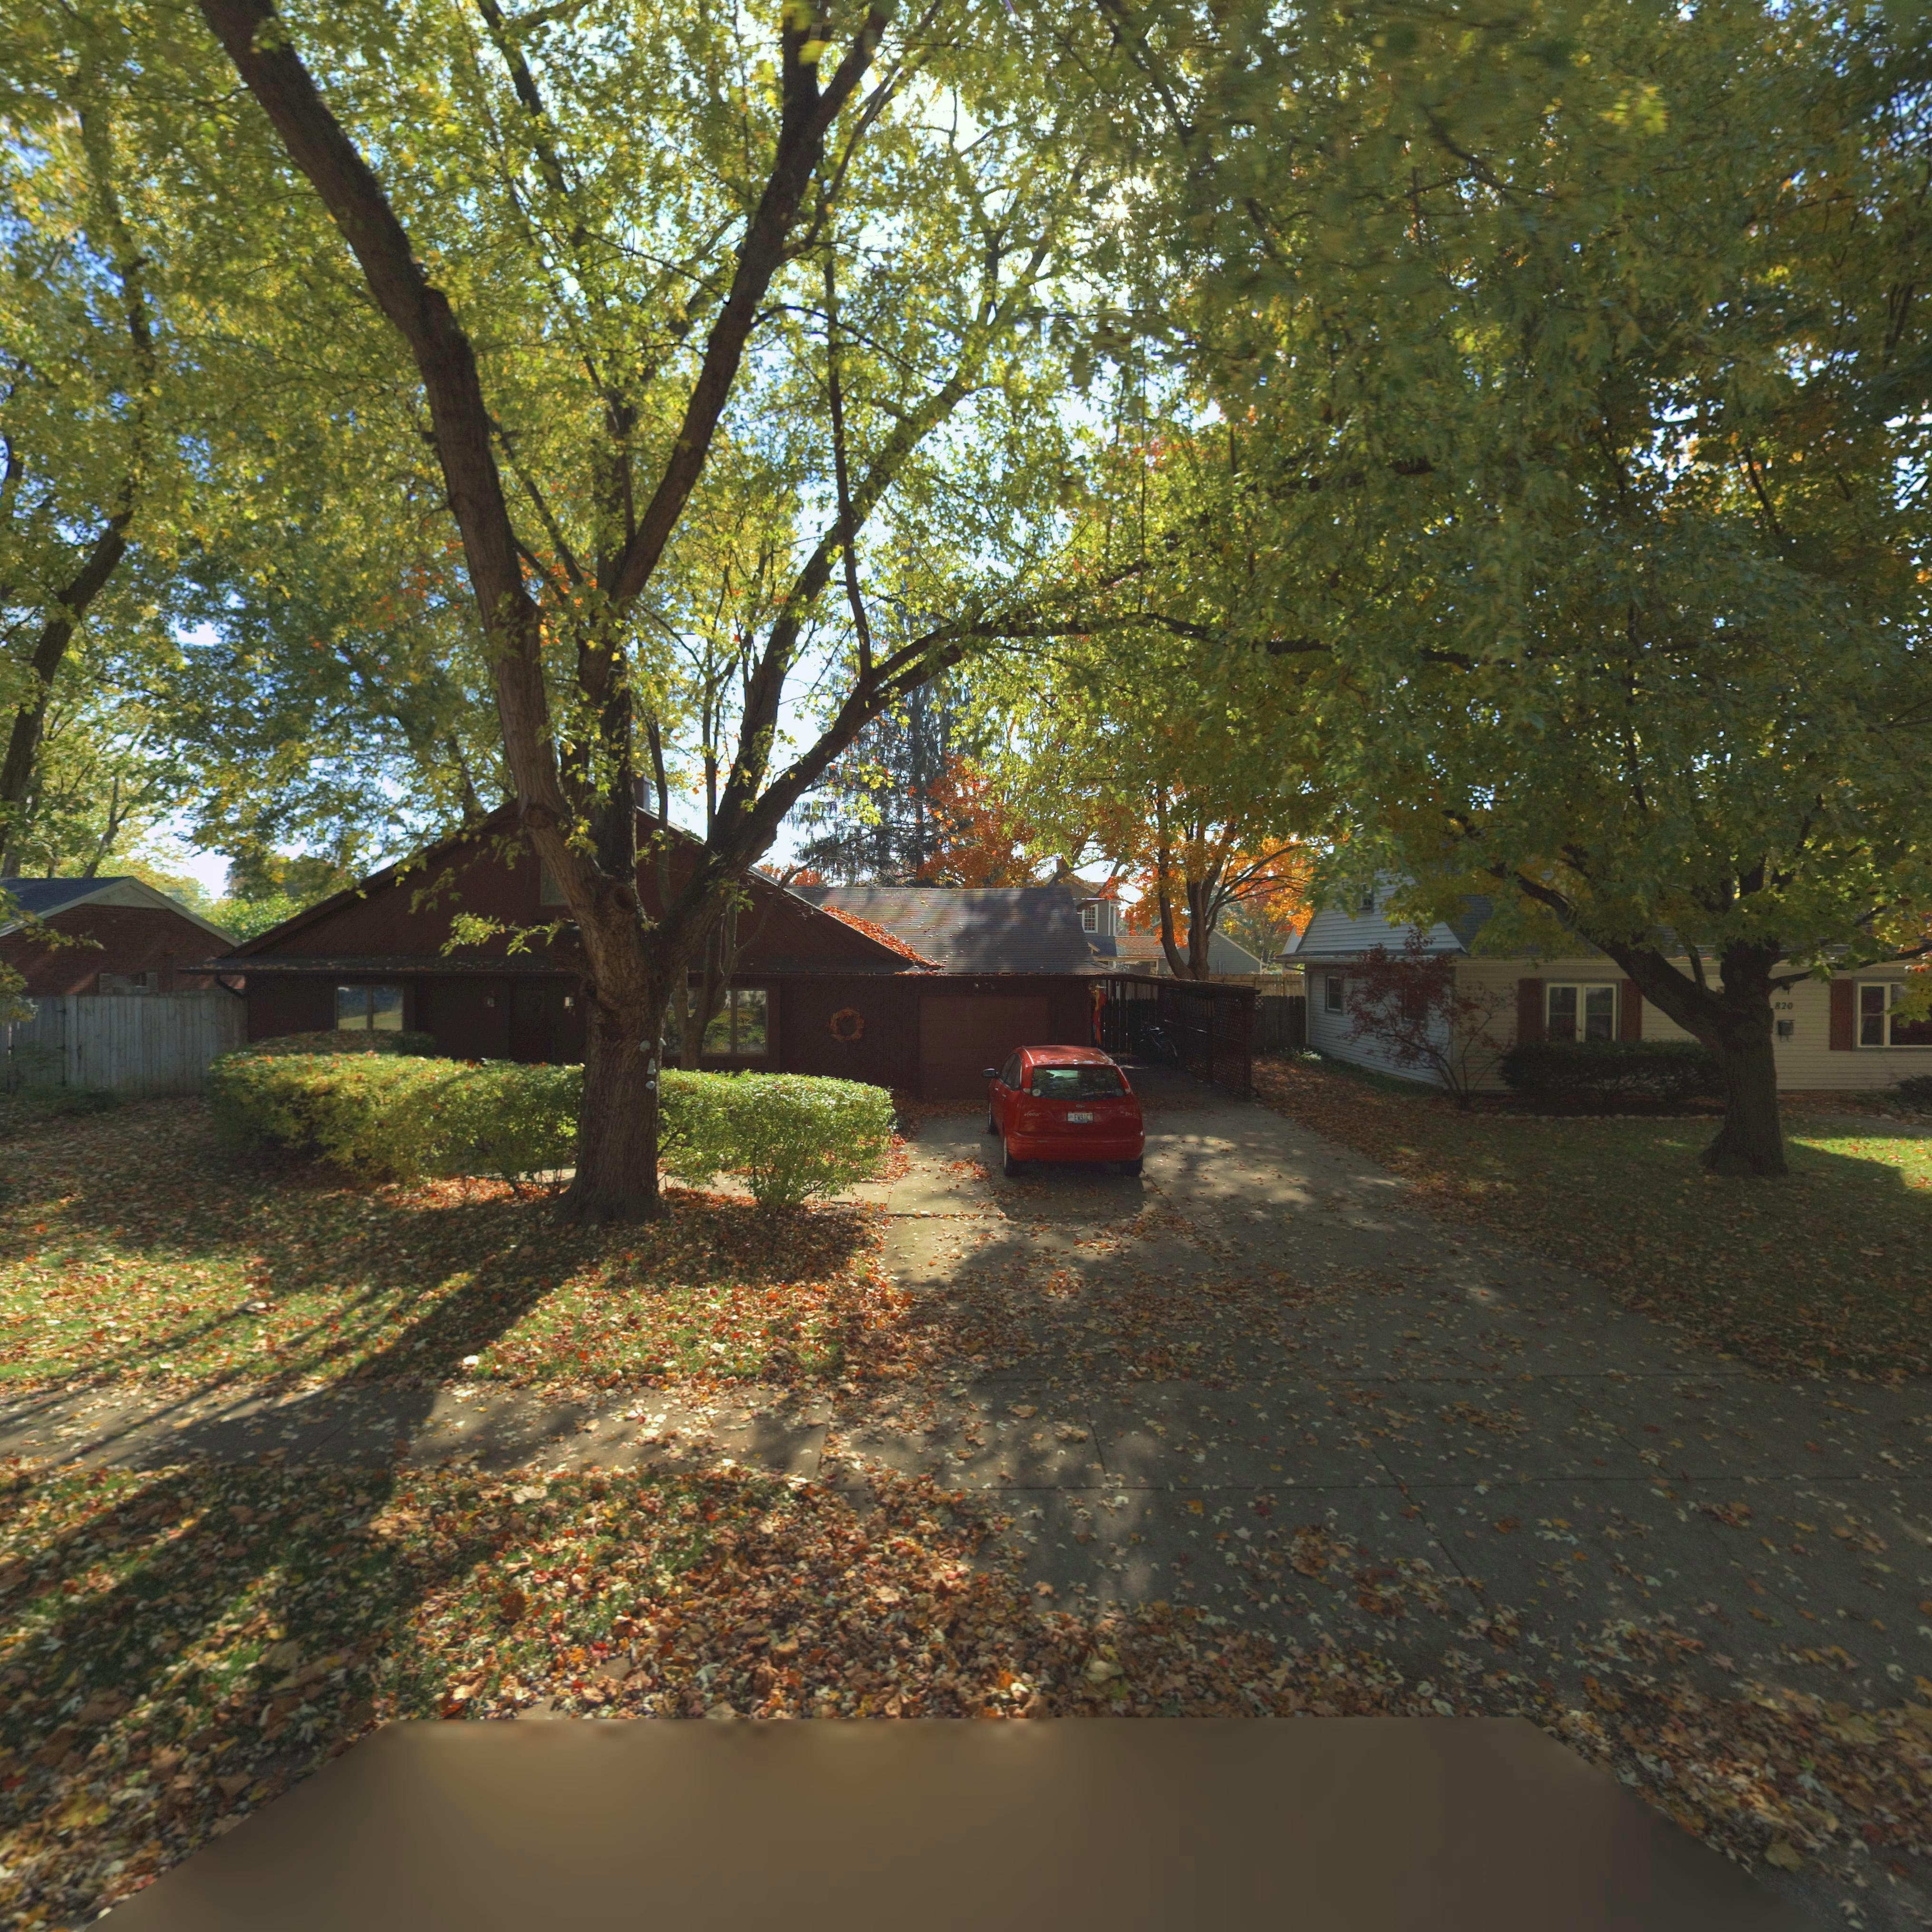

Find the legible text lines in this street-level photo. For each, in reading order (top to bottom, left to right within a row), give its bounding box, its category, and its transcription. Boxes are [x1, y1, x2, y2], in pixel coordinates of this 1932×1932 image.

[566, 1005, 577, 1018] StreetNumber: 24
[1774, 1001, 1794, 1010] StreetNumber: 820